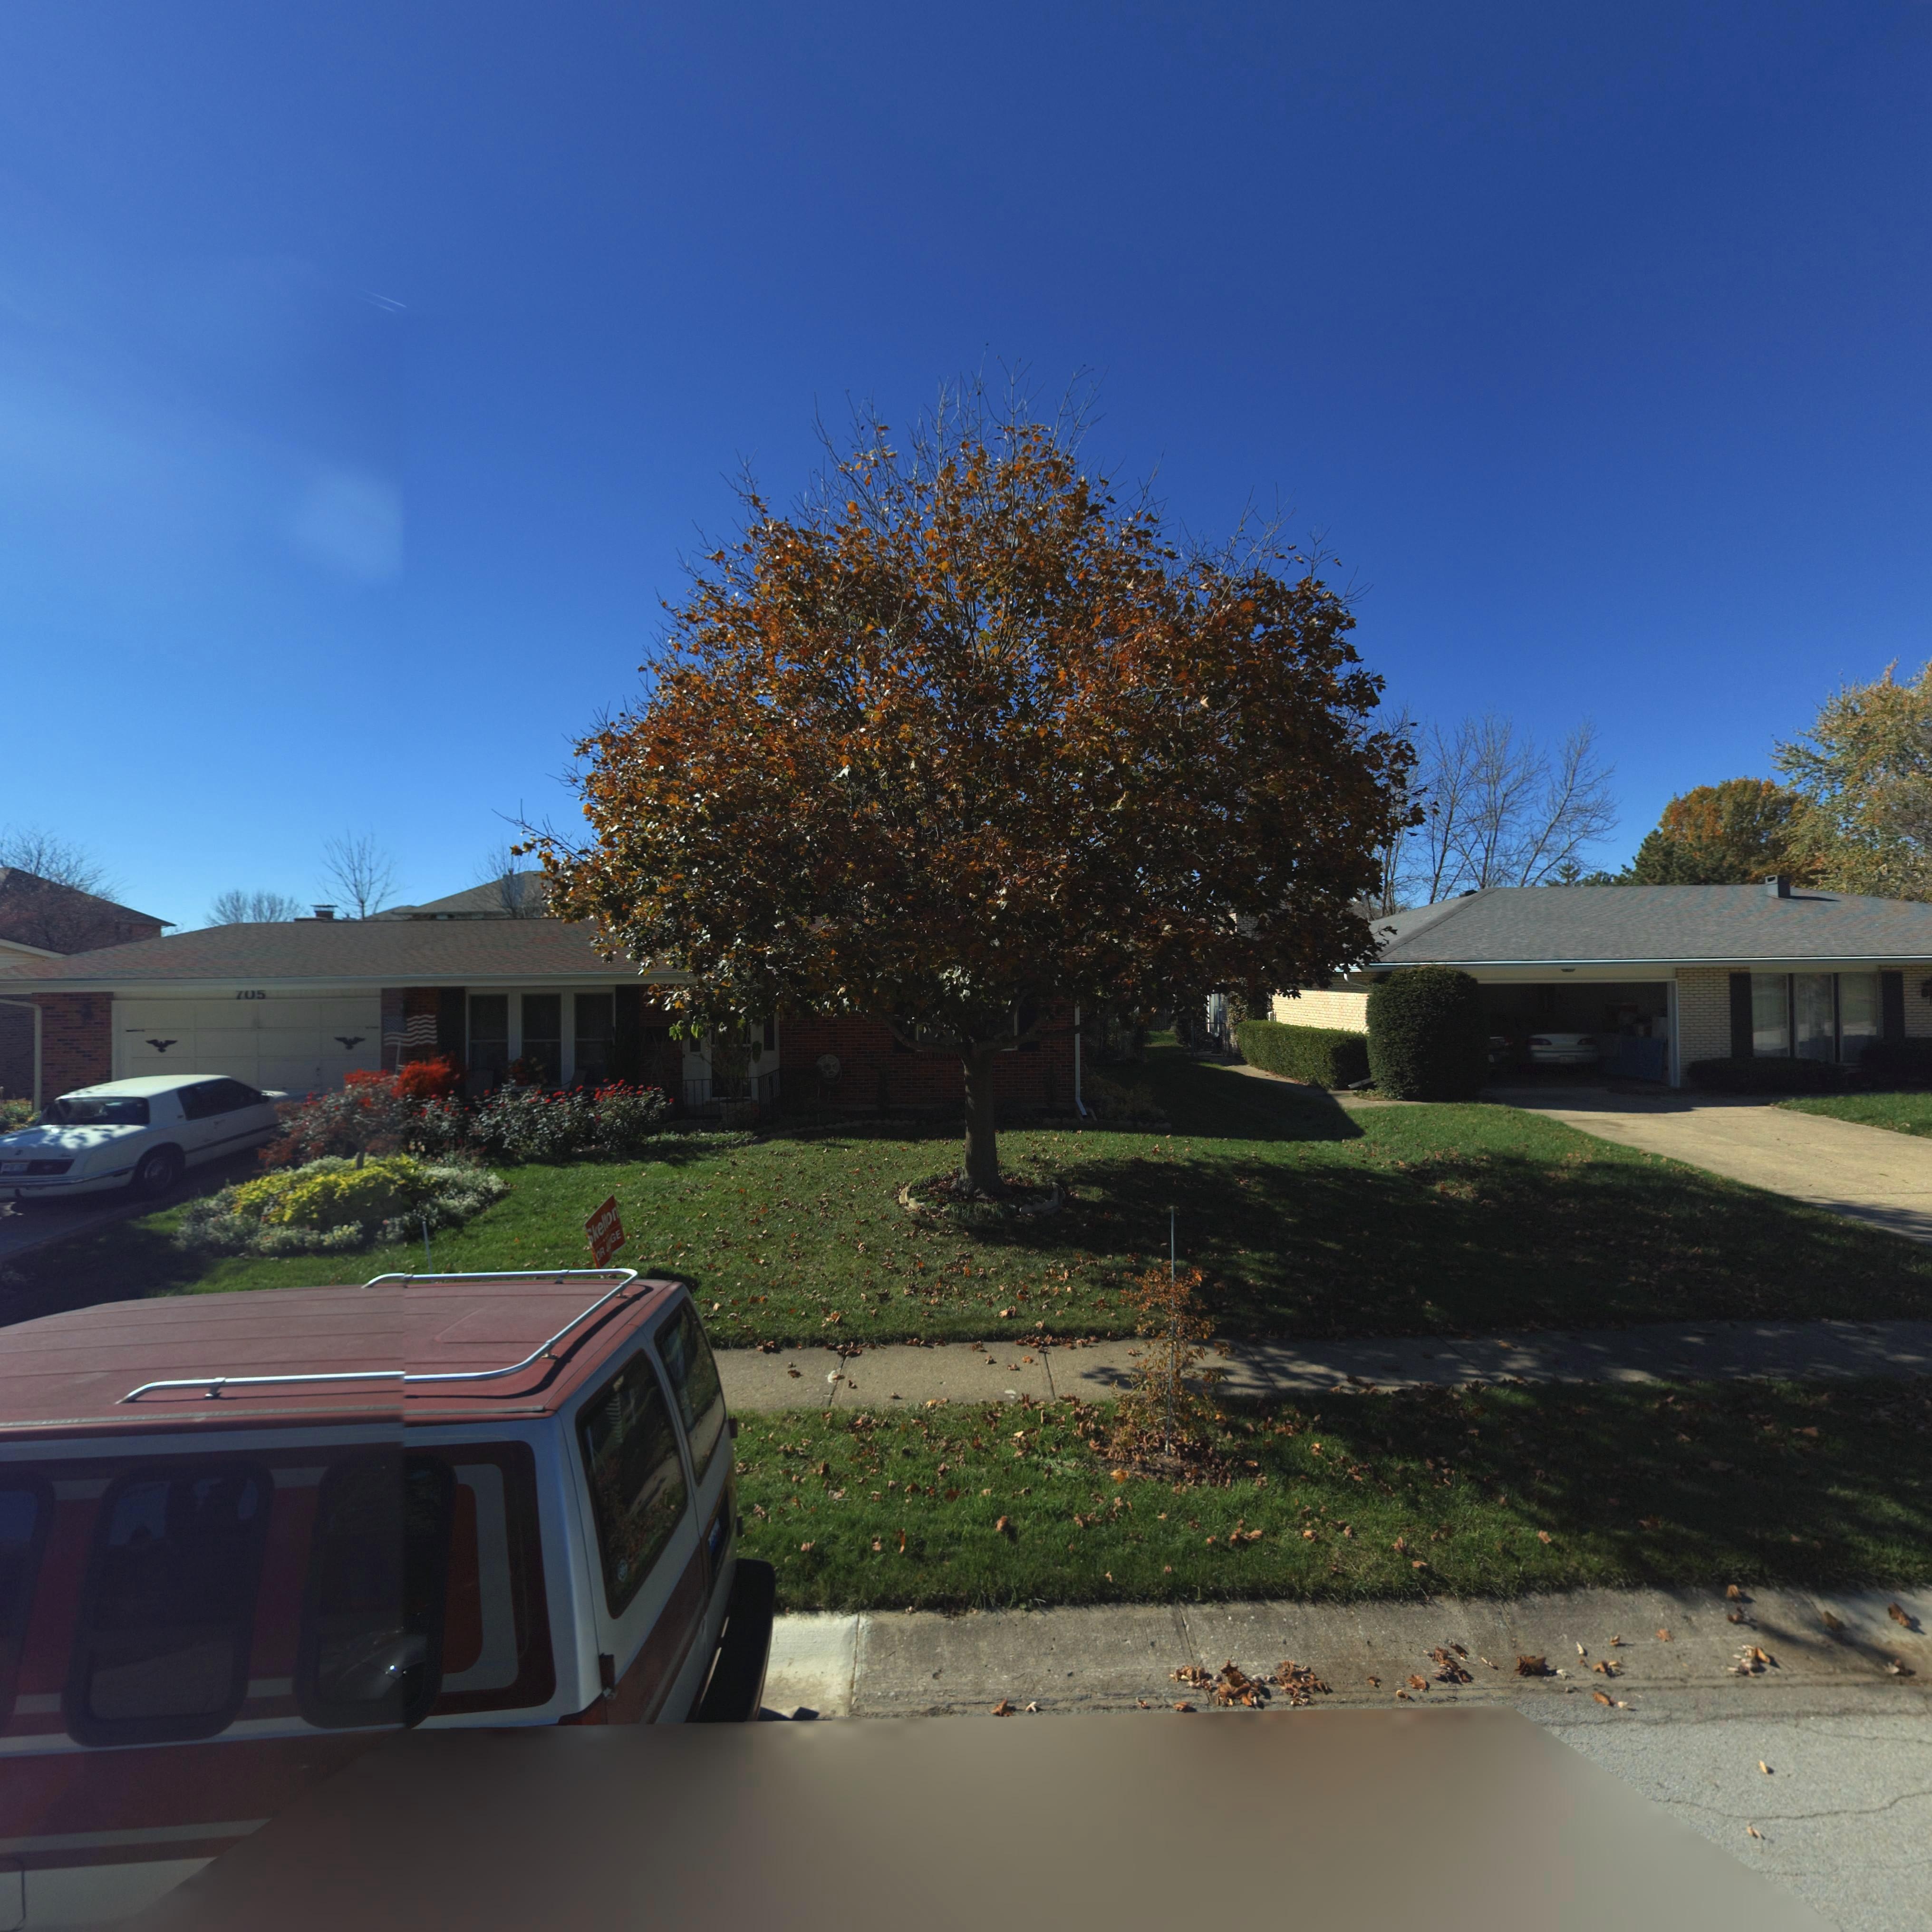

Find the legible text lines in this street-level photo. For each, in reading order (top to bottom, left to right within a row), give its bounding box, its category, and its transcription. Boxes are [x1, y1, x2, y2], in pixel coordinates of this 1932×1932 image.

[235, 989, 265, 1000] StreetNumber: 705